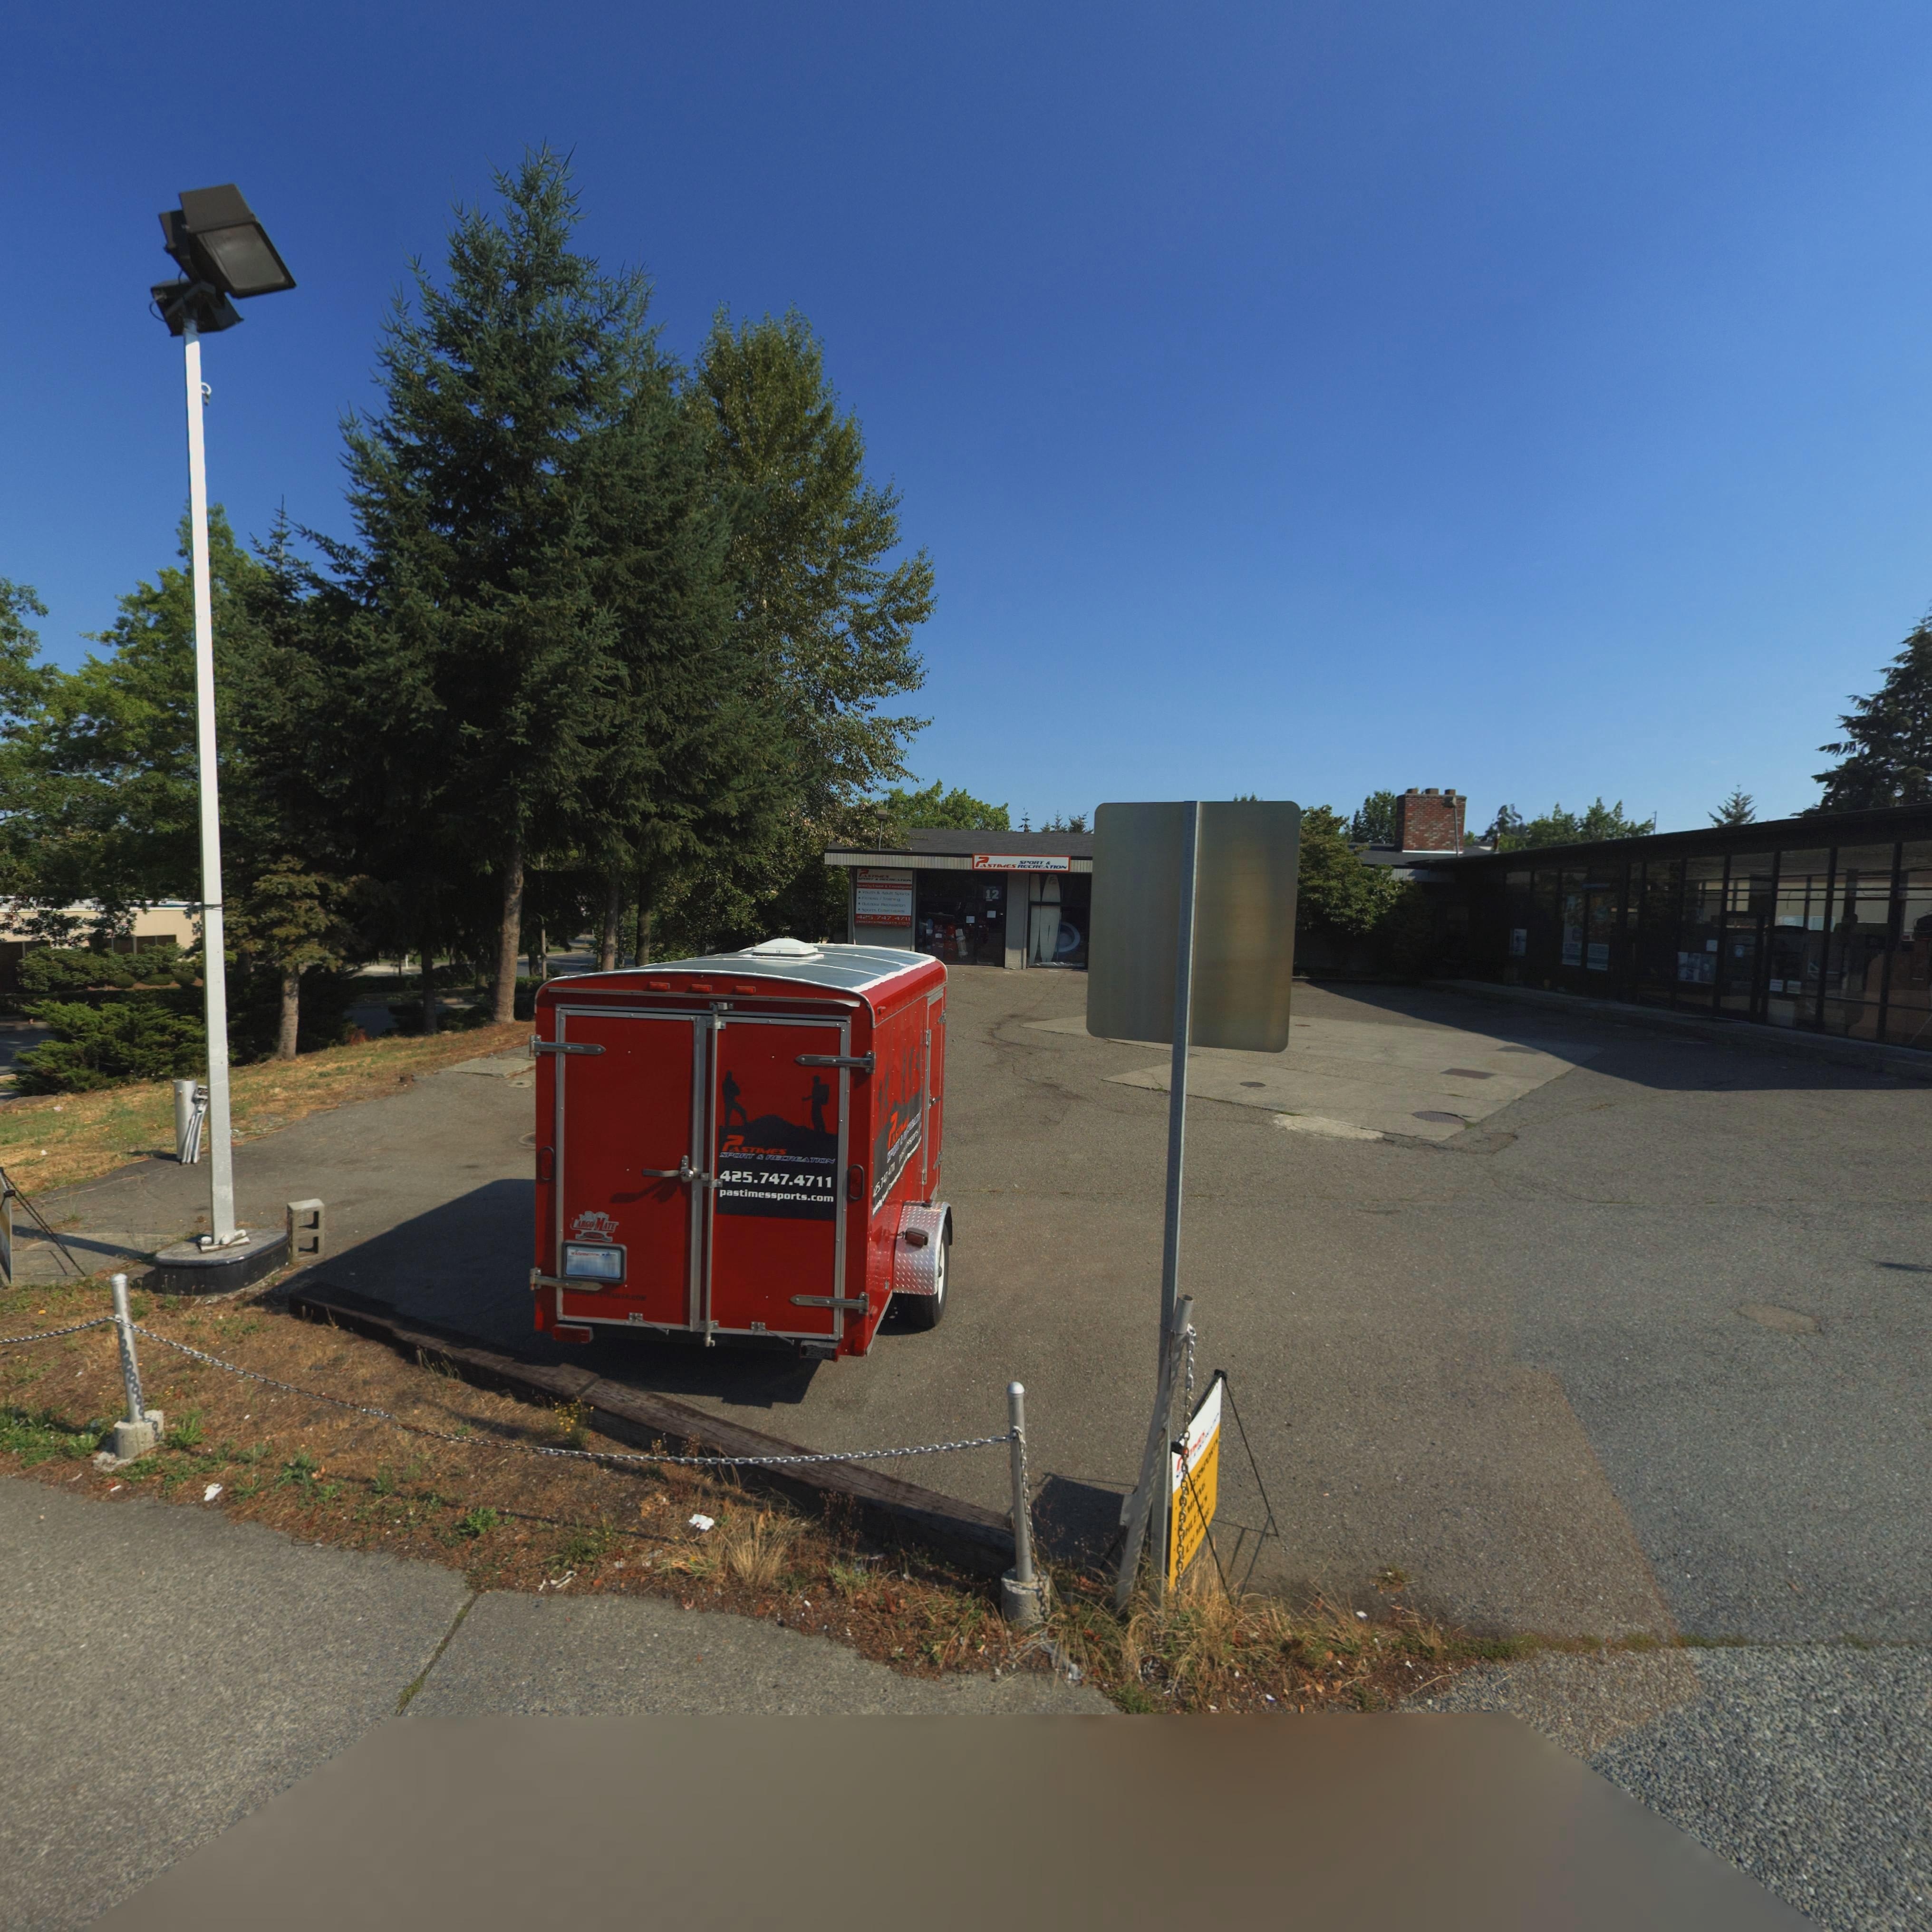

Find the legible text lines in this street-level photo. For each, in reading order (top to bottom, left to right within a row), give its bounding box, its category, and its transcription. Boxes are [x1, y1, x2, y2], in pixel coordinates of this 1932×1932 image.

[1018, 860, 1044, 864] BusinessName: SPORT
[979, 863, 1016, 869] BusinessName: ASTIMES
[1017, 864, 1068, 869] BusinessName: R*CREATION